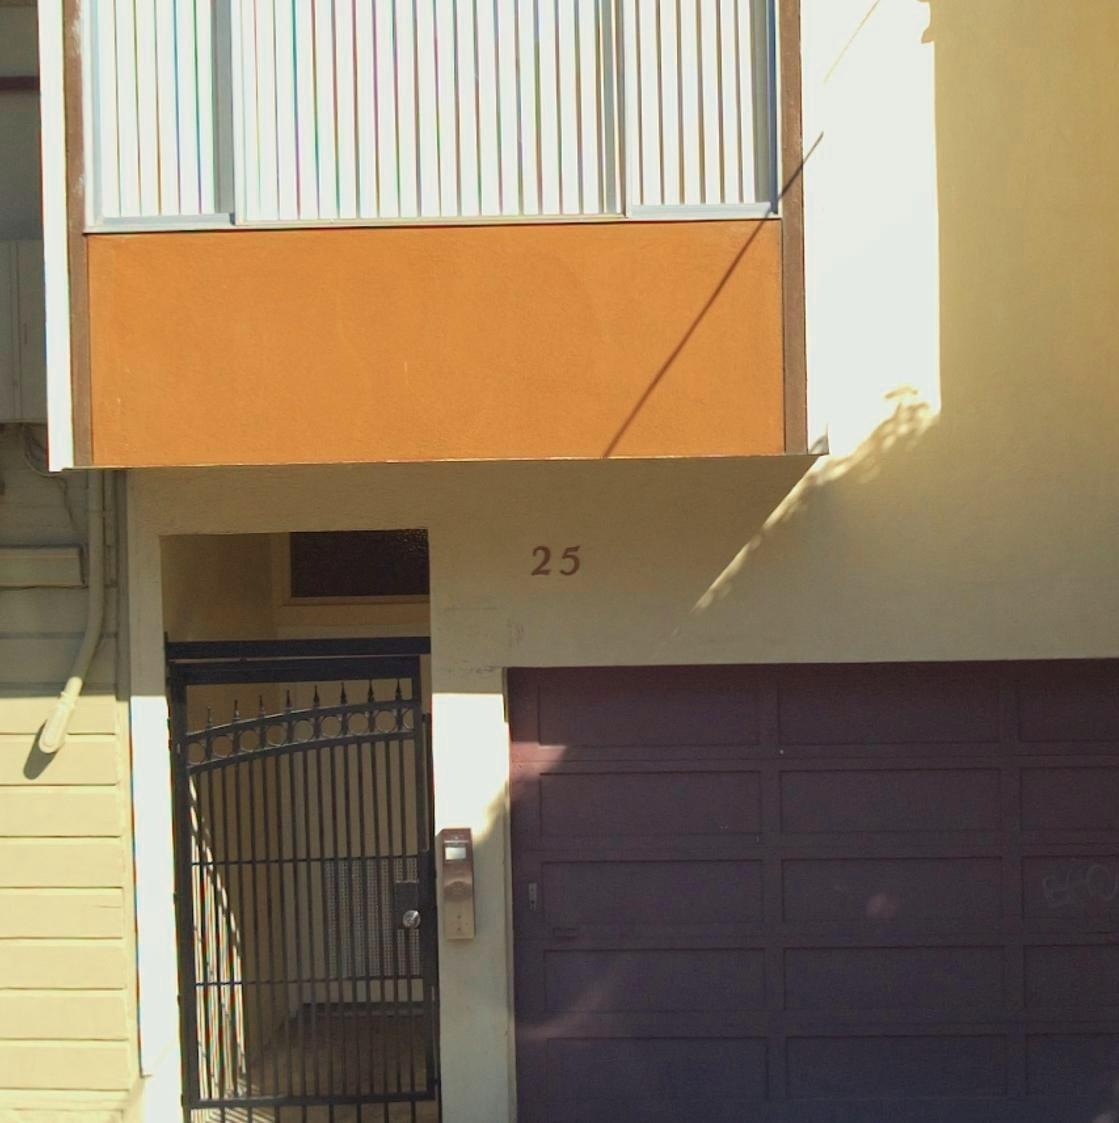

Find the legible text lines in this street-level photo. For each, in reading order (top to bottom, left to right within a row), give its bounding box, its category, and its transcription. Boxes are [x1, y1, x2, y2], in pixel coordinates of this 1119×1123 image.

[529, 544, 582, 578] StreetNumber: 25